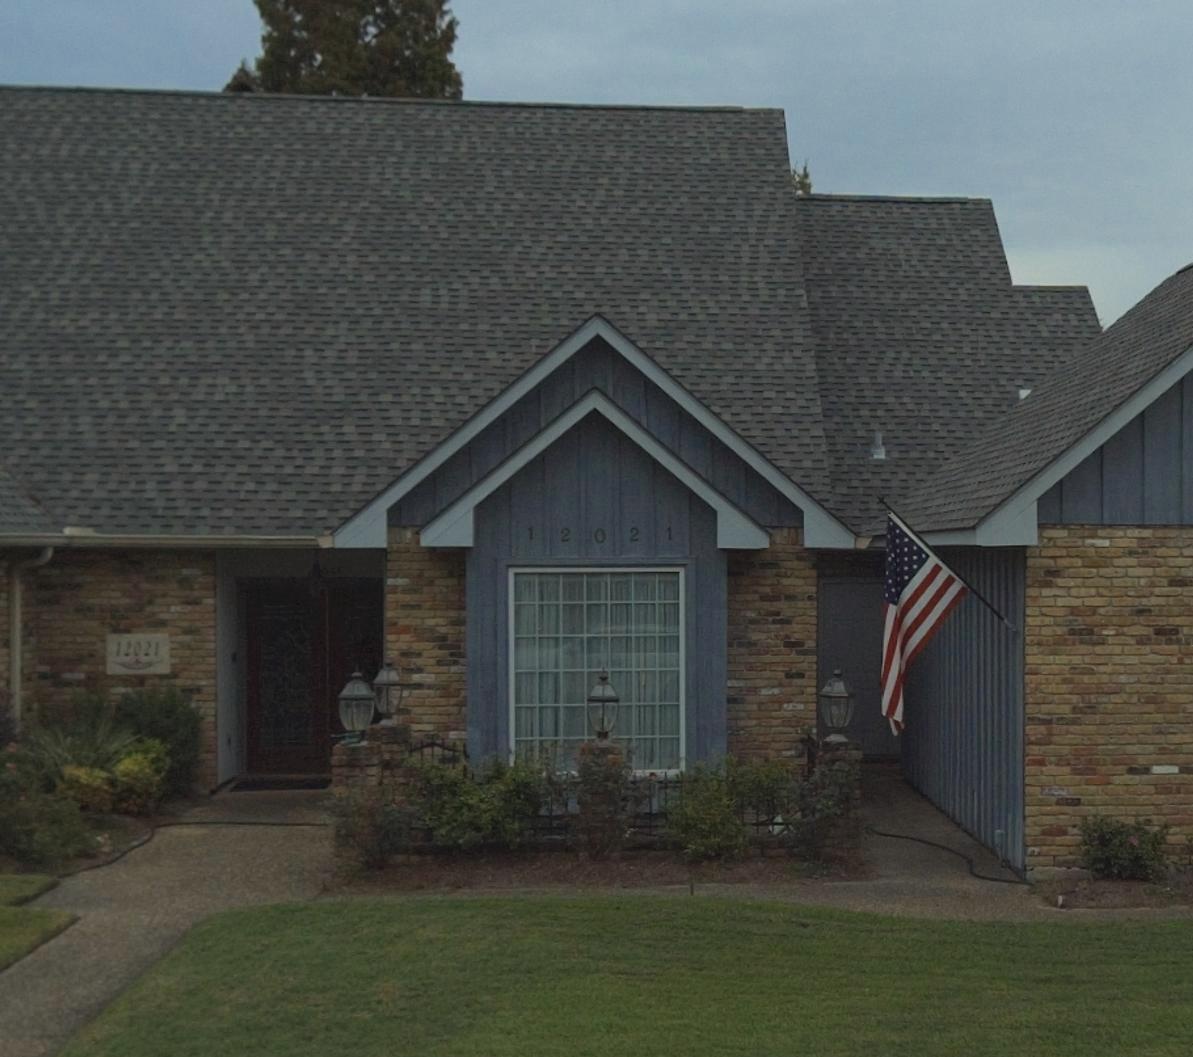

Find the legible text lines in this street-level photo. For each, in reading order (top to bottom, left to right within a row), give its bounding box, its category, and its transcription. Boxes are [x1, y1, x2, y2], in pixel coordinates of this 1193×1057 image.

[527, 526, 675, 545] StreetNumber: 12021
[113, 641, 164, 657] StreetNumber: 12021